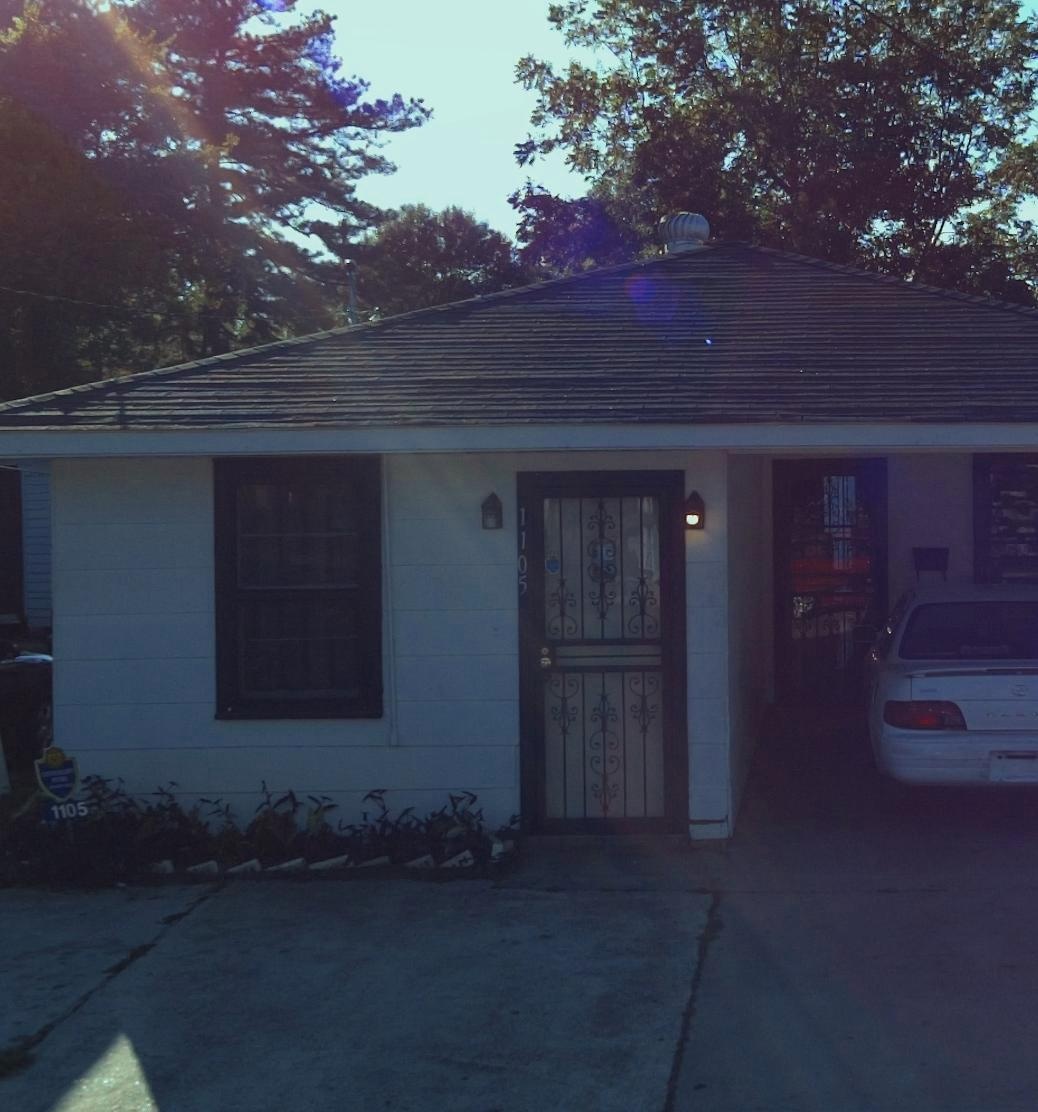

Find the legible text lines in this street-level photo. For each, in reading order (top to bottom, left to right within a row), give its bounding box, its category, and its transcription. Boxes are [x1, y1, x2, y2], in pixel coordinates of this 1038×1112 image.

[516, 503, 530, 598] StreetNumber: 1105